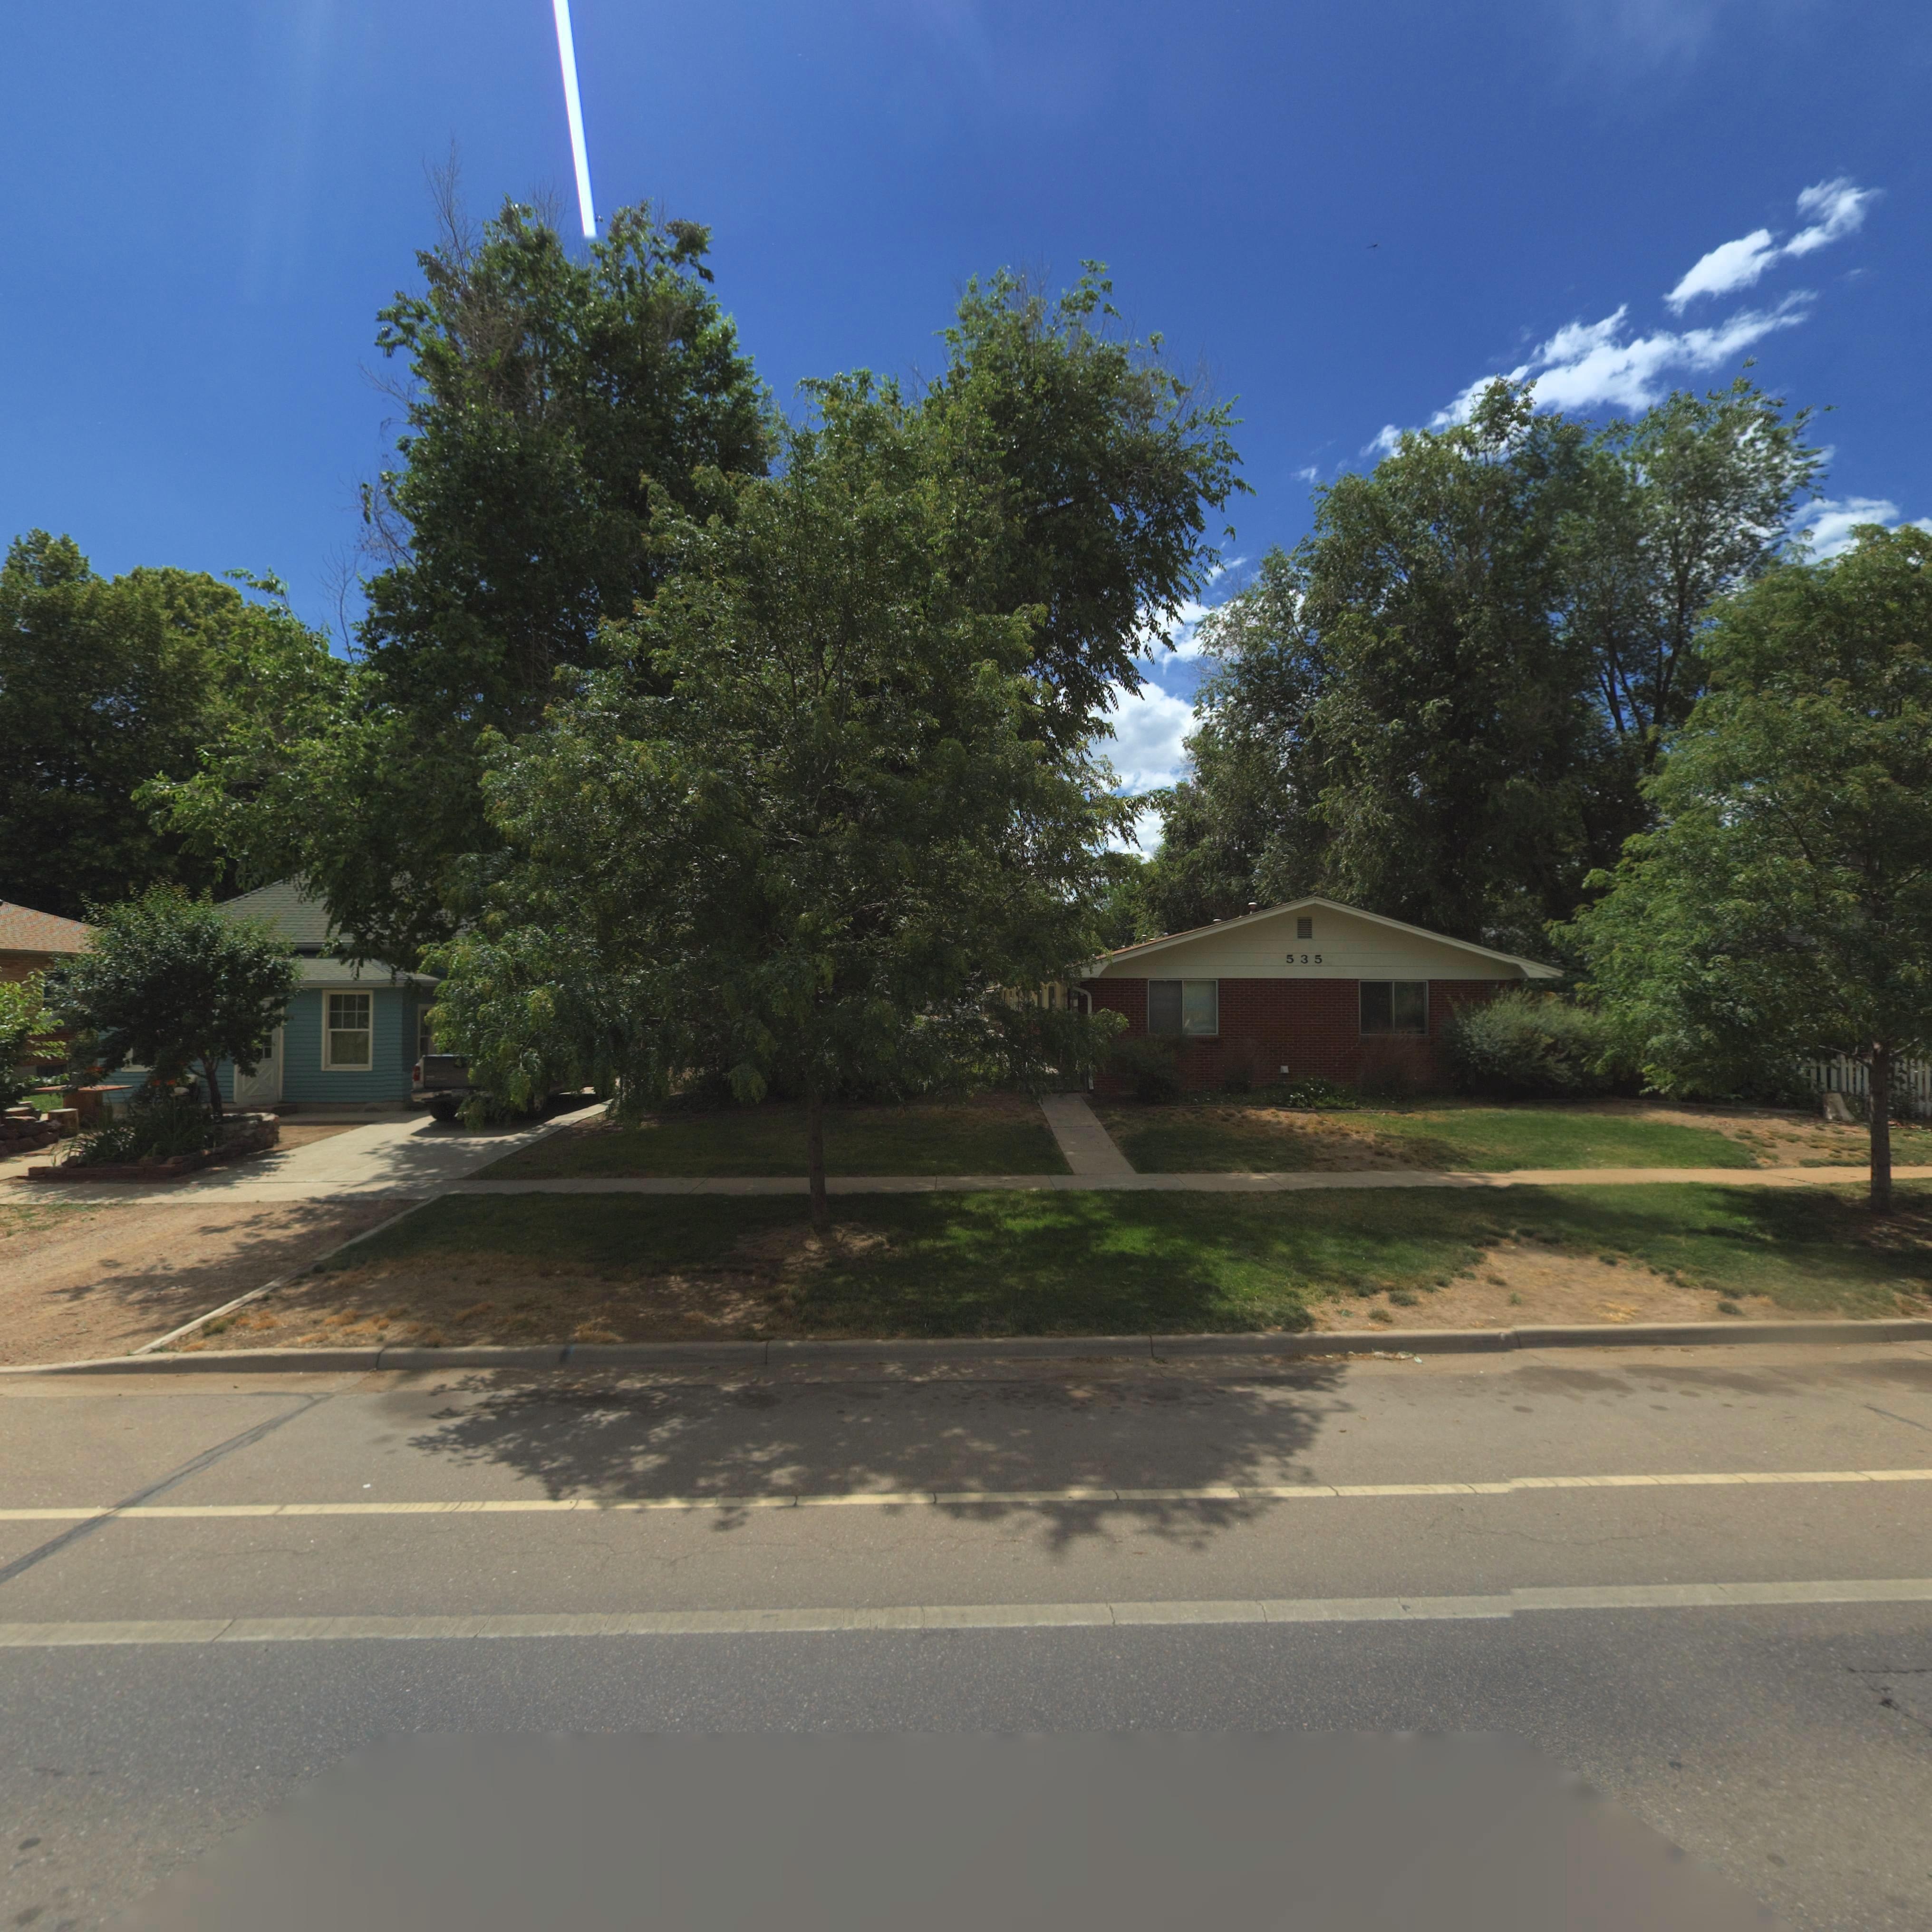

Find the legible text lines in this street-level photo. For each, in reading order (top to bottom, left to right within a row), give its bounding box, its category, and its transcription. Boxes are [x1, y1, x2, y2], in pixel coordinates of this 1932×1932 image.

[1285, 953, 1322, 964] StreetNumber: 535